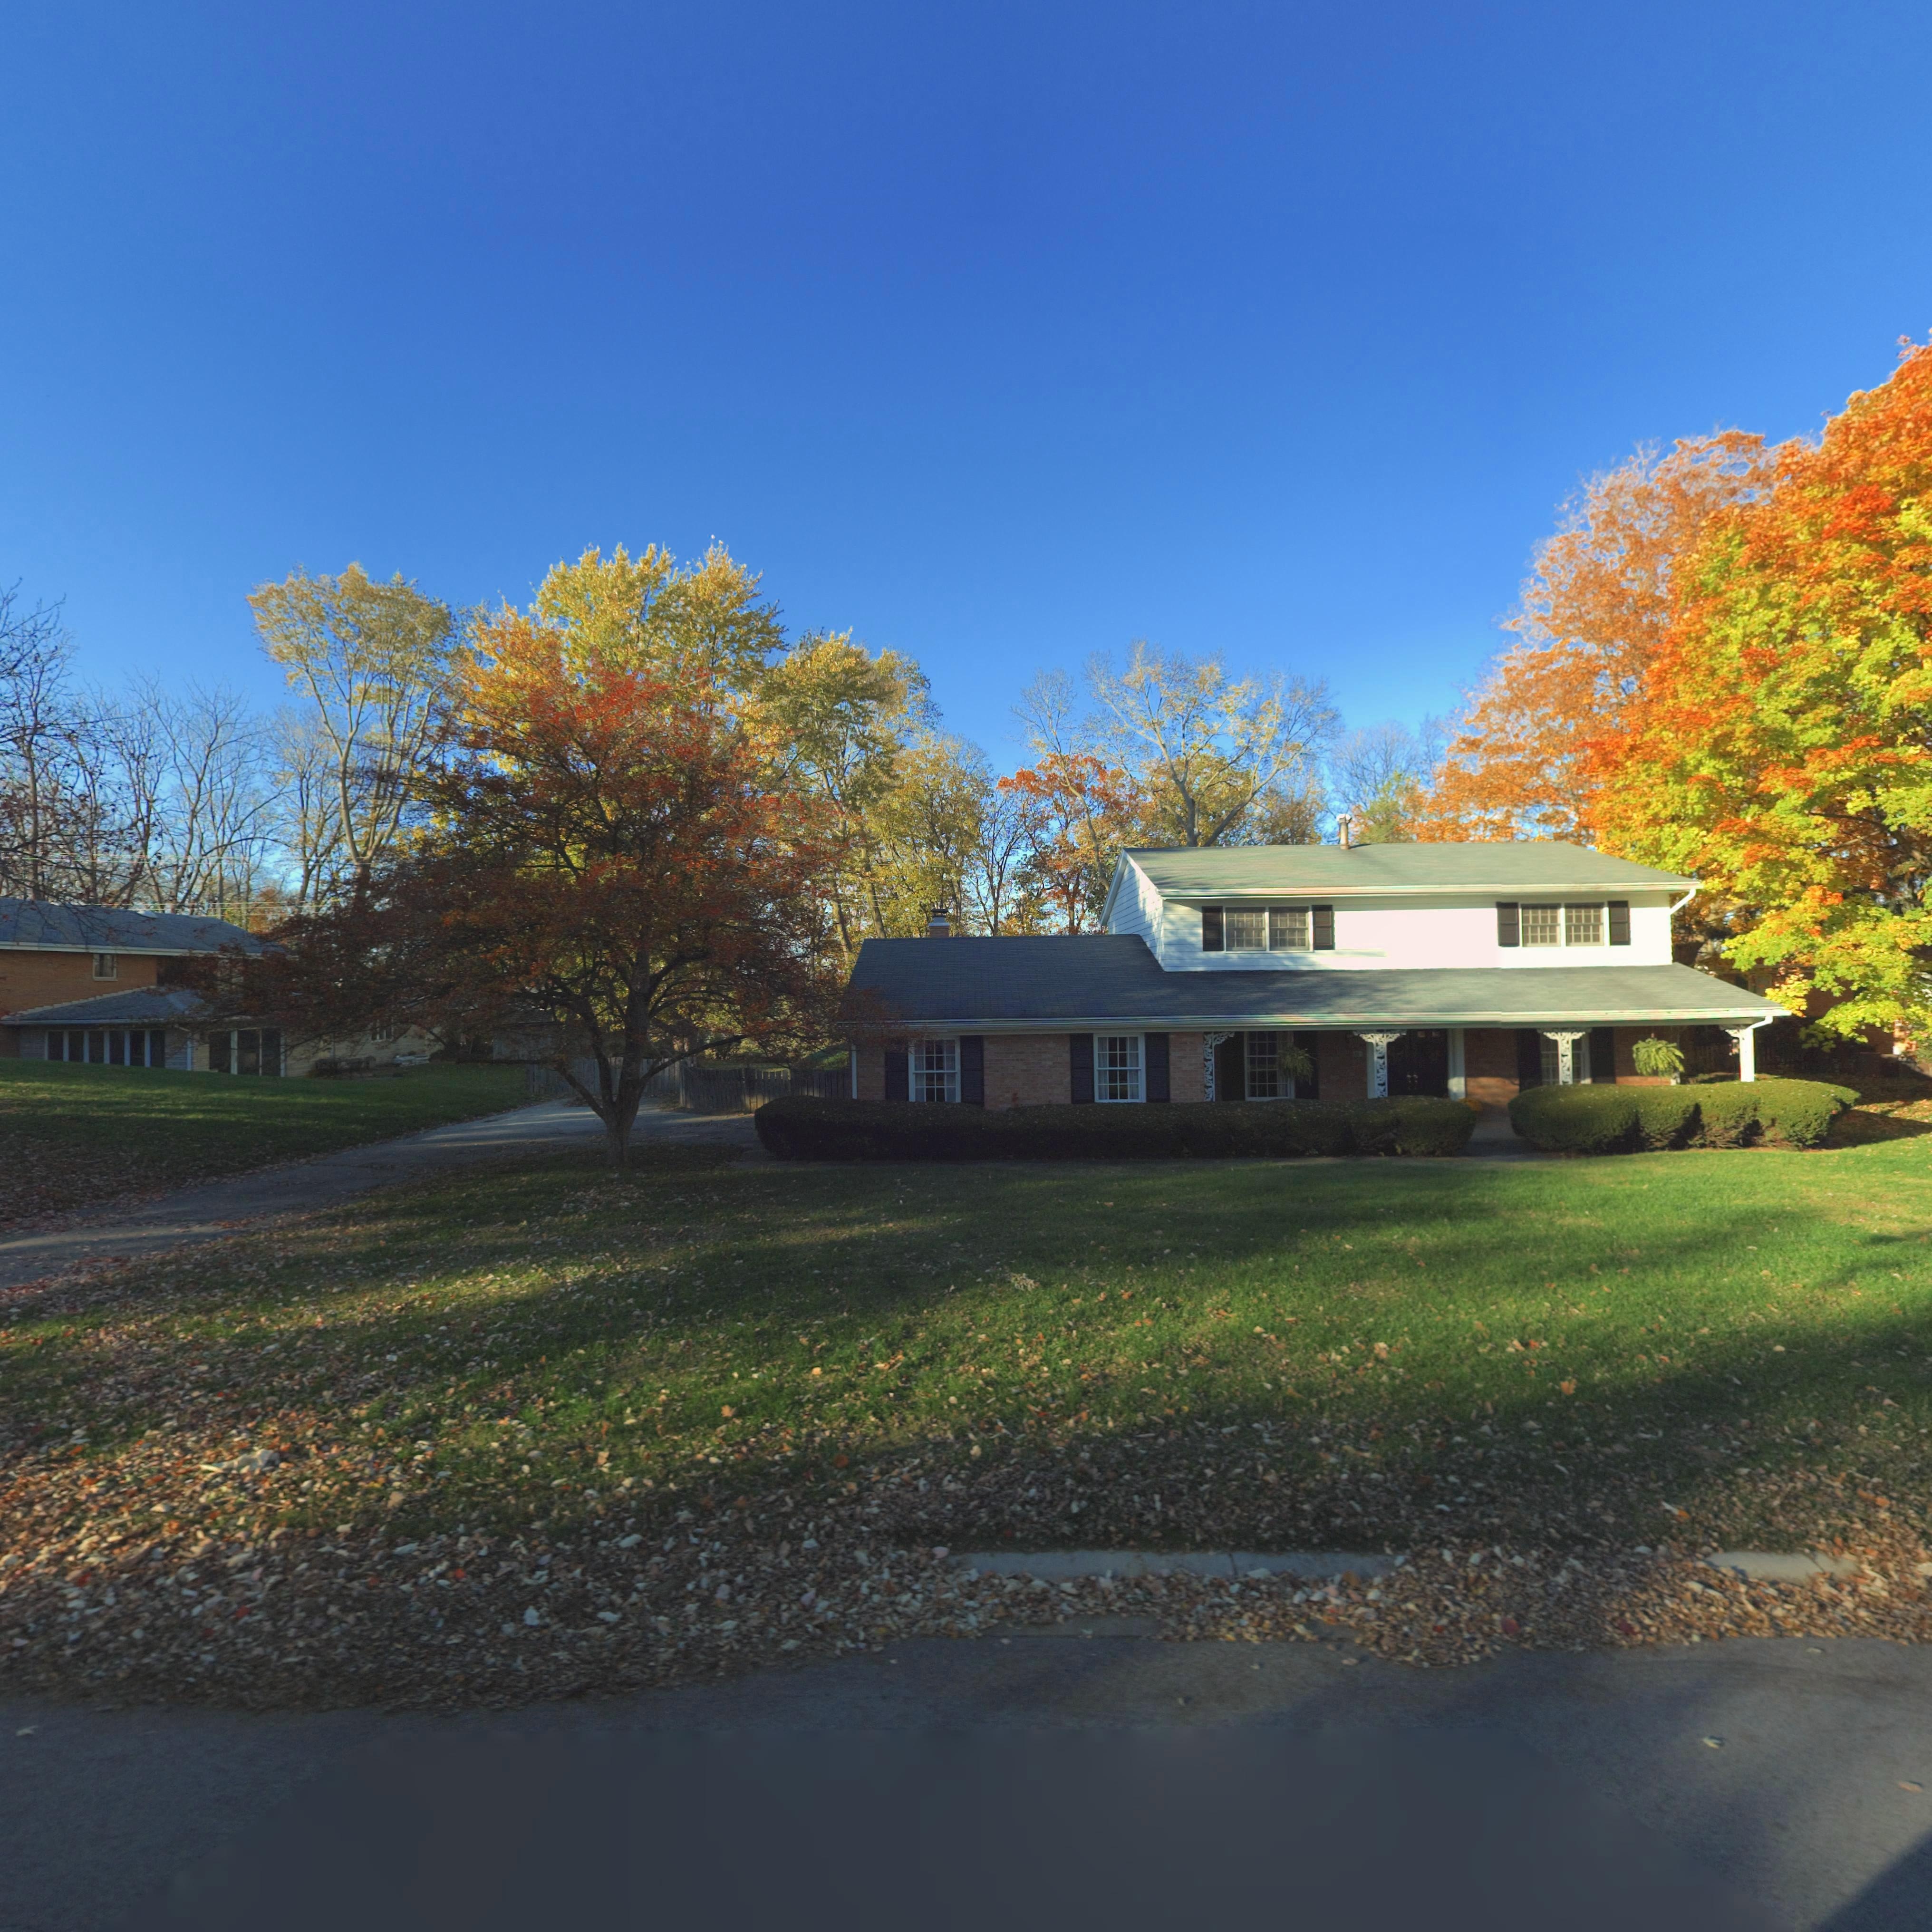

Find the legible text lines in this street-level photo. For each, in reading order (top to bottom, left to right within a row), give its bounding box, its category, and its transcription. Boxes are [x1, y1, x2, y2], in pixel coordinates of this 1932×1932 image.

[1353, 1051, 1362, 1057] StreetNumber: 5***